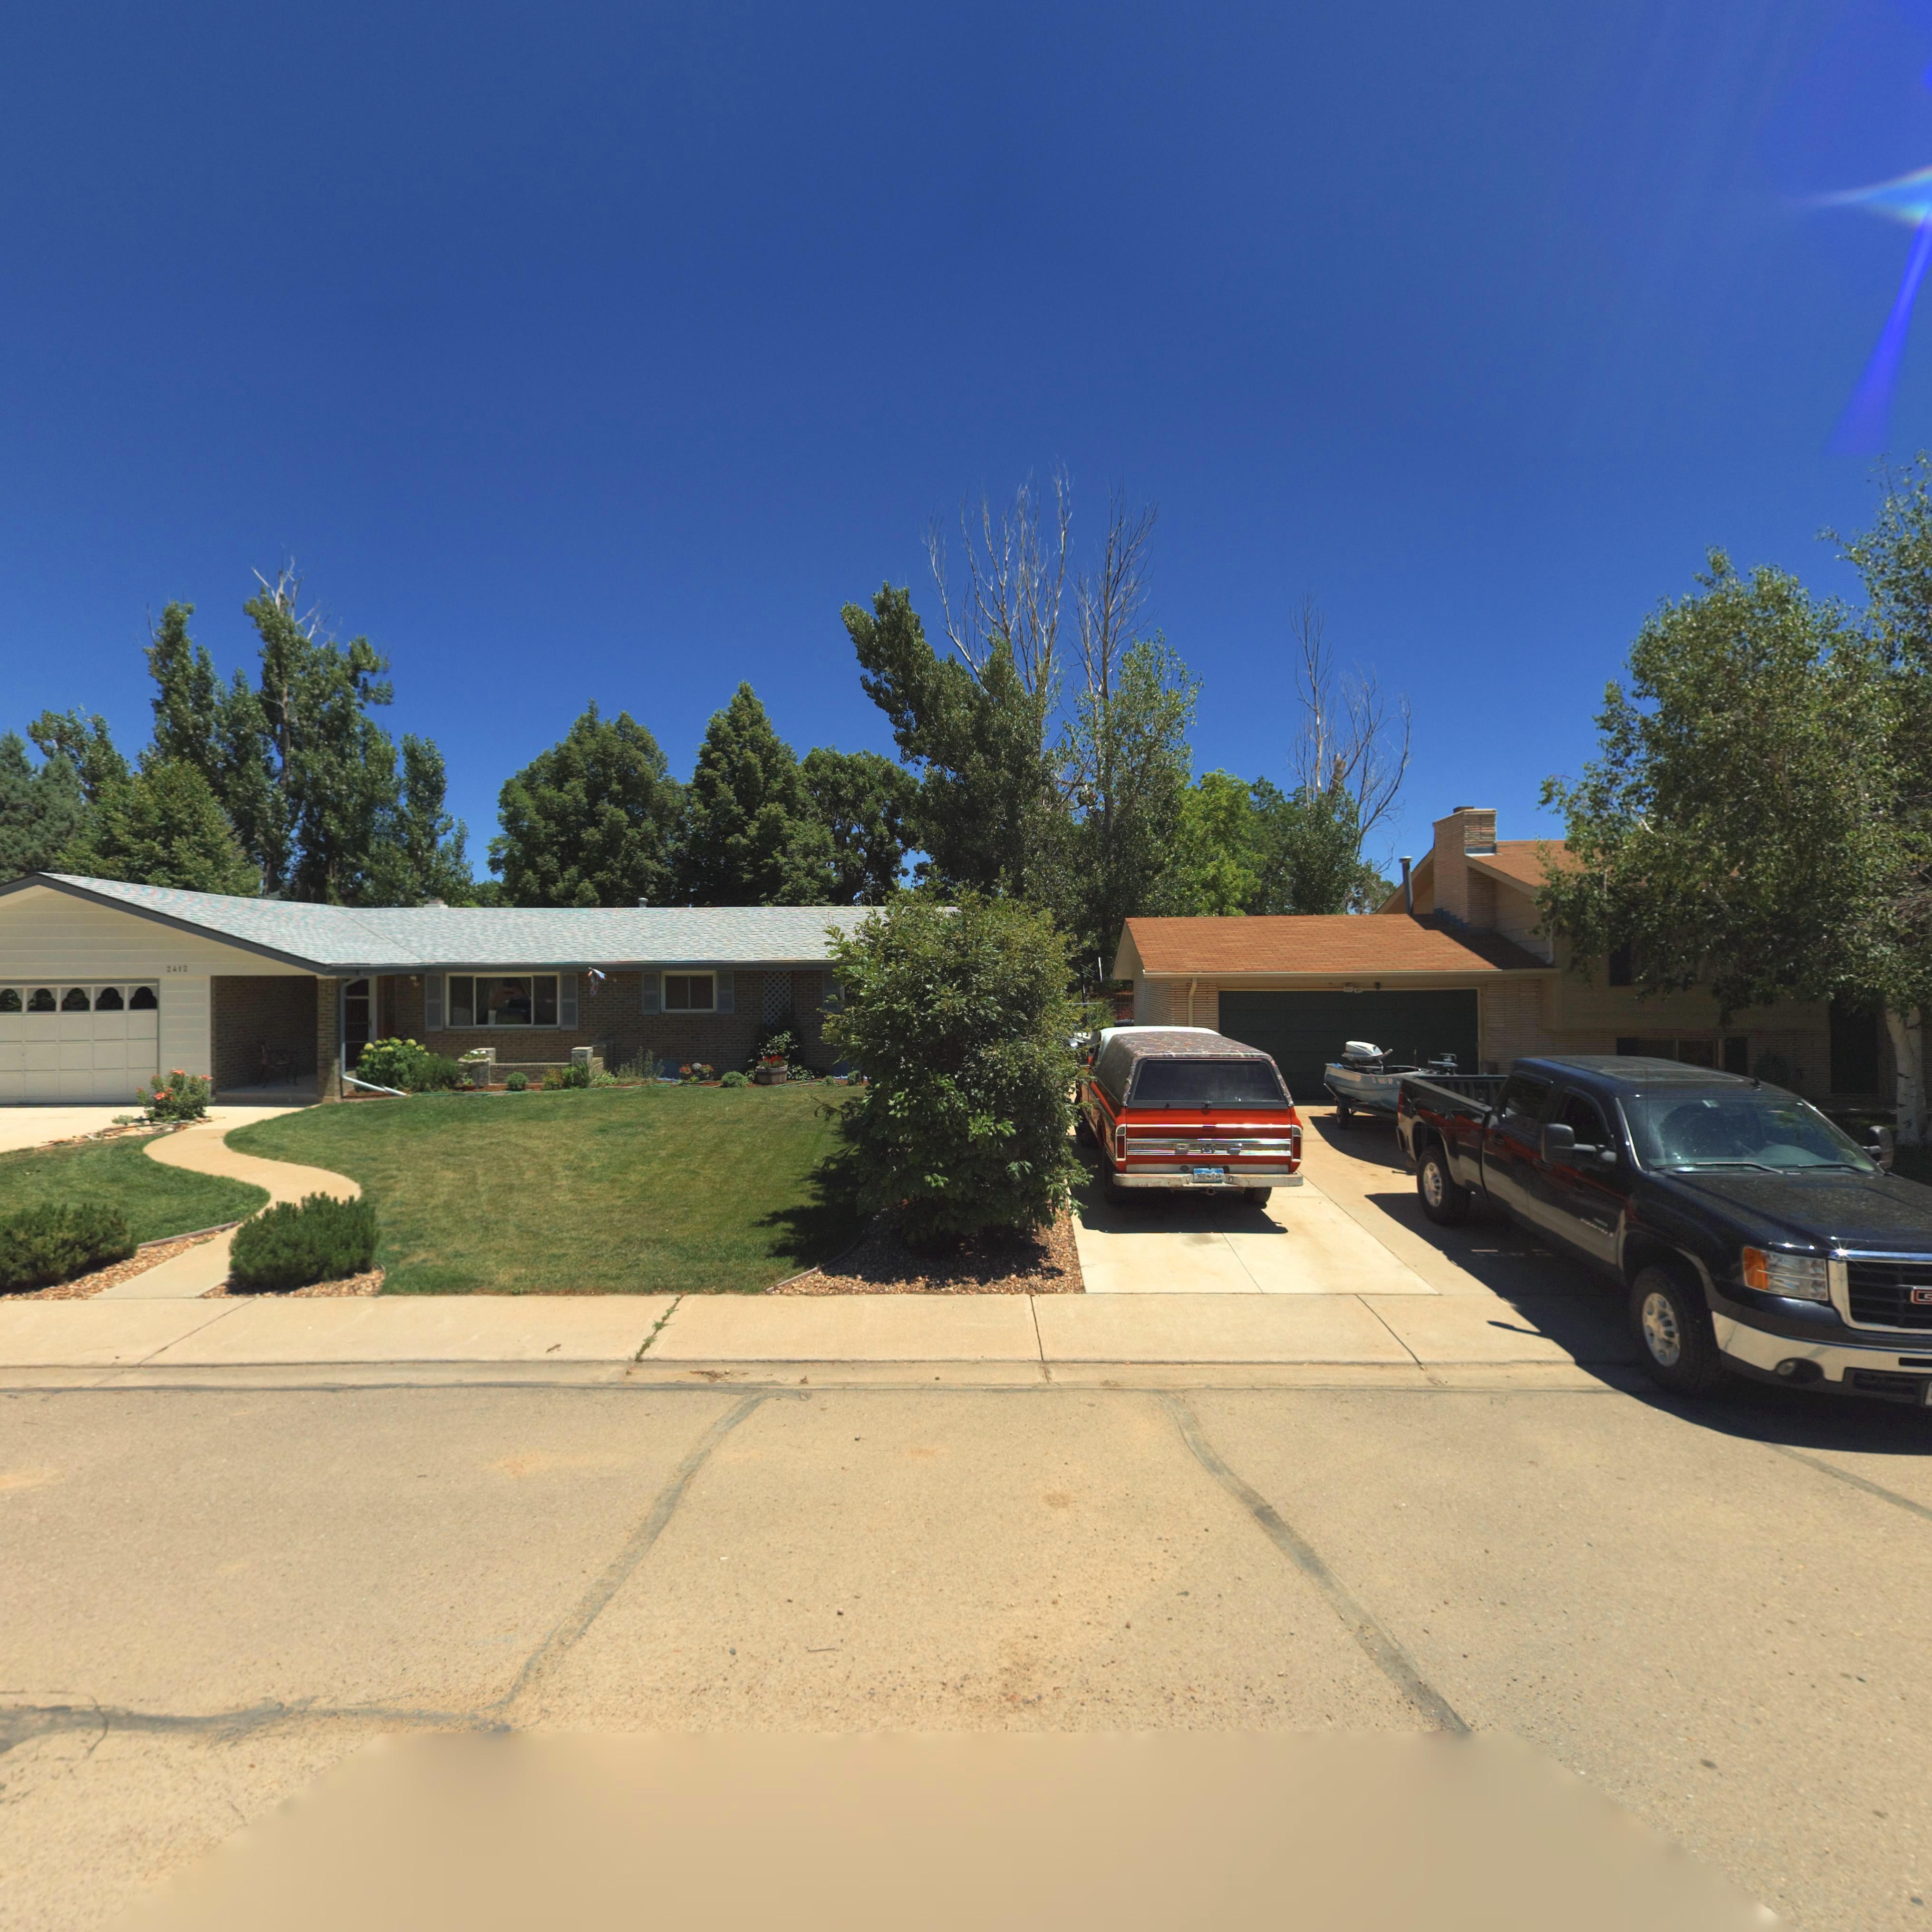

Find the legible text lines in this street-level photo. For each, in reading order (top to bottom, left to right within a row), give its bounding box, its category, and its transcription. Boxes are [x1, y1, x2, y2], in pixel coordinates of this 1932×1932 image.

[166, 965, 188, 973] StreetNumber: 2412